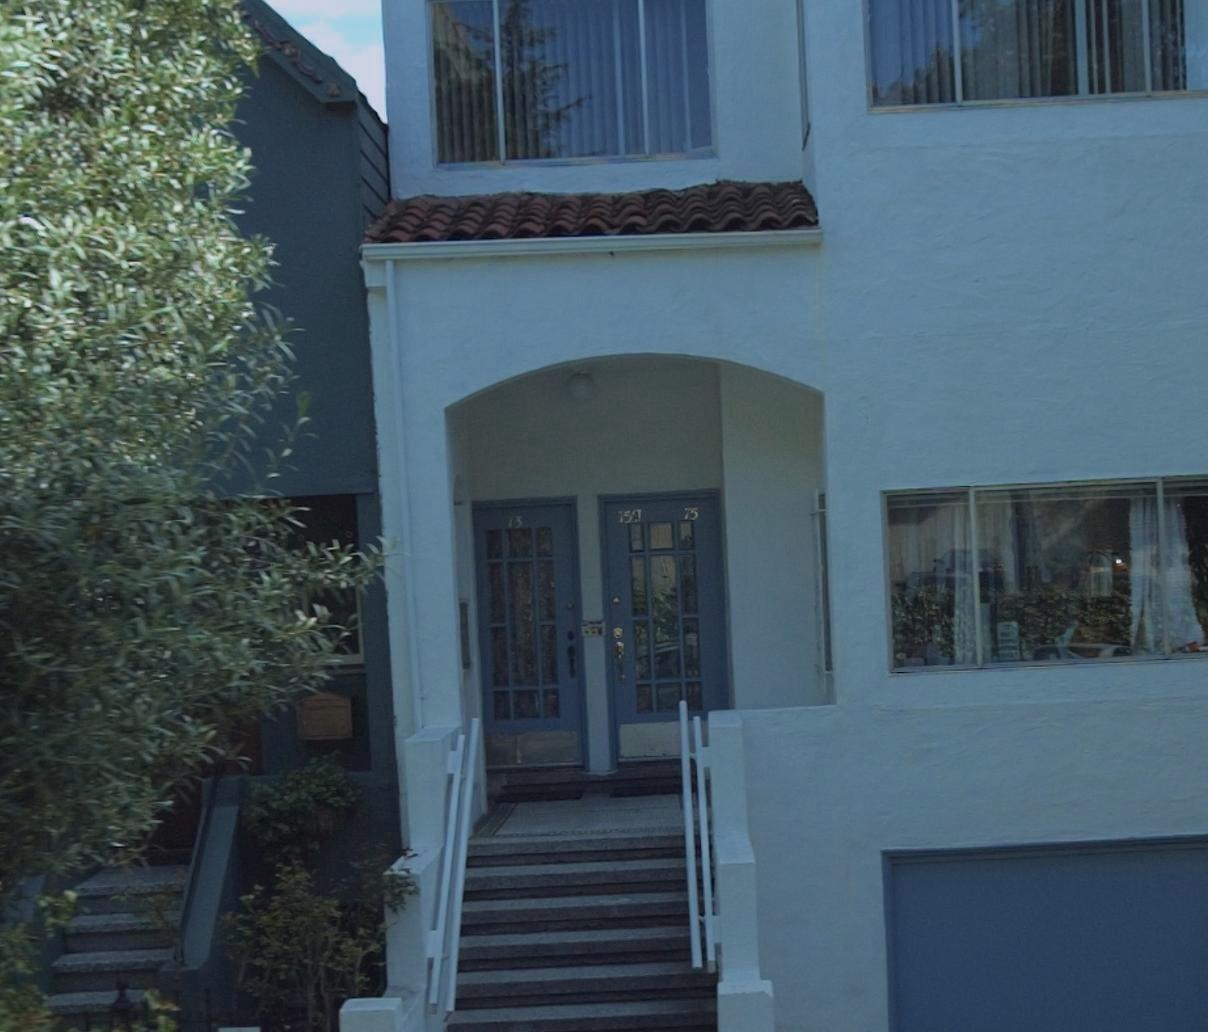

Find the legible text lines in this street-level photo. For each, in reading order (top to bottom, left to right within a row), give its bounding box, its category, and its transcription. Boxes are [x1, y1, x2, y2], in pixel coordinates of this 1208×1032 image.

[506, 516, 523, 528] StreetNumber: 73
[617, 509, 632, 524] StreetNumber: 75
[633, 510, 640, 522] StreetNumber: A
[683, 506, 699, 520] StreetNumber: 75